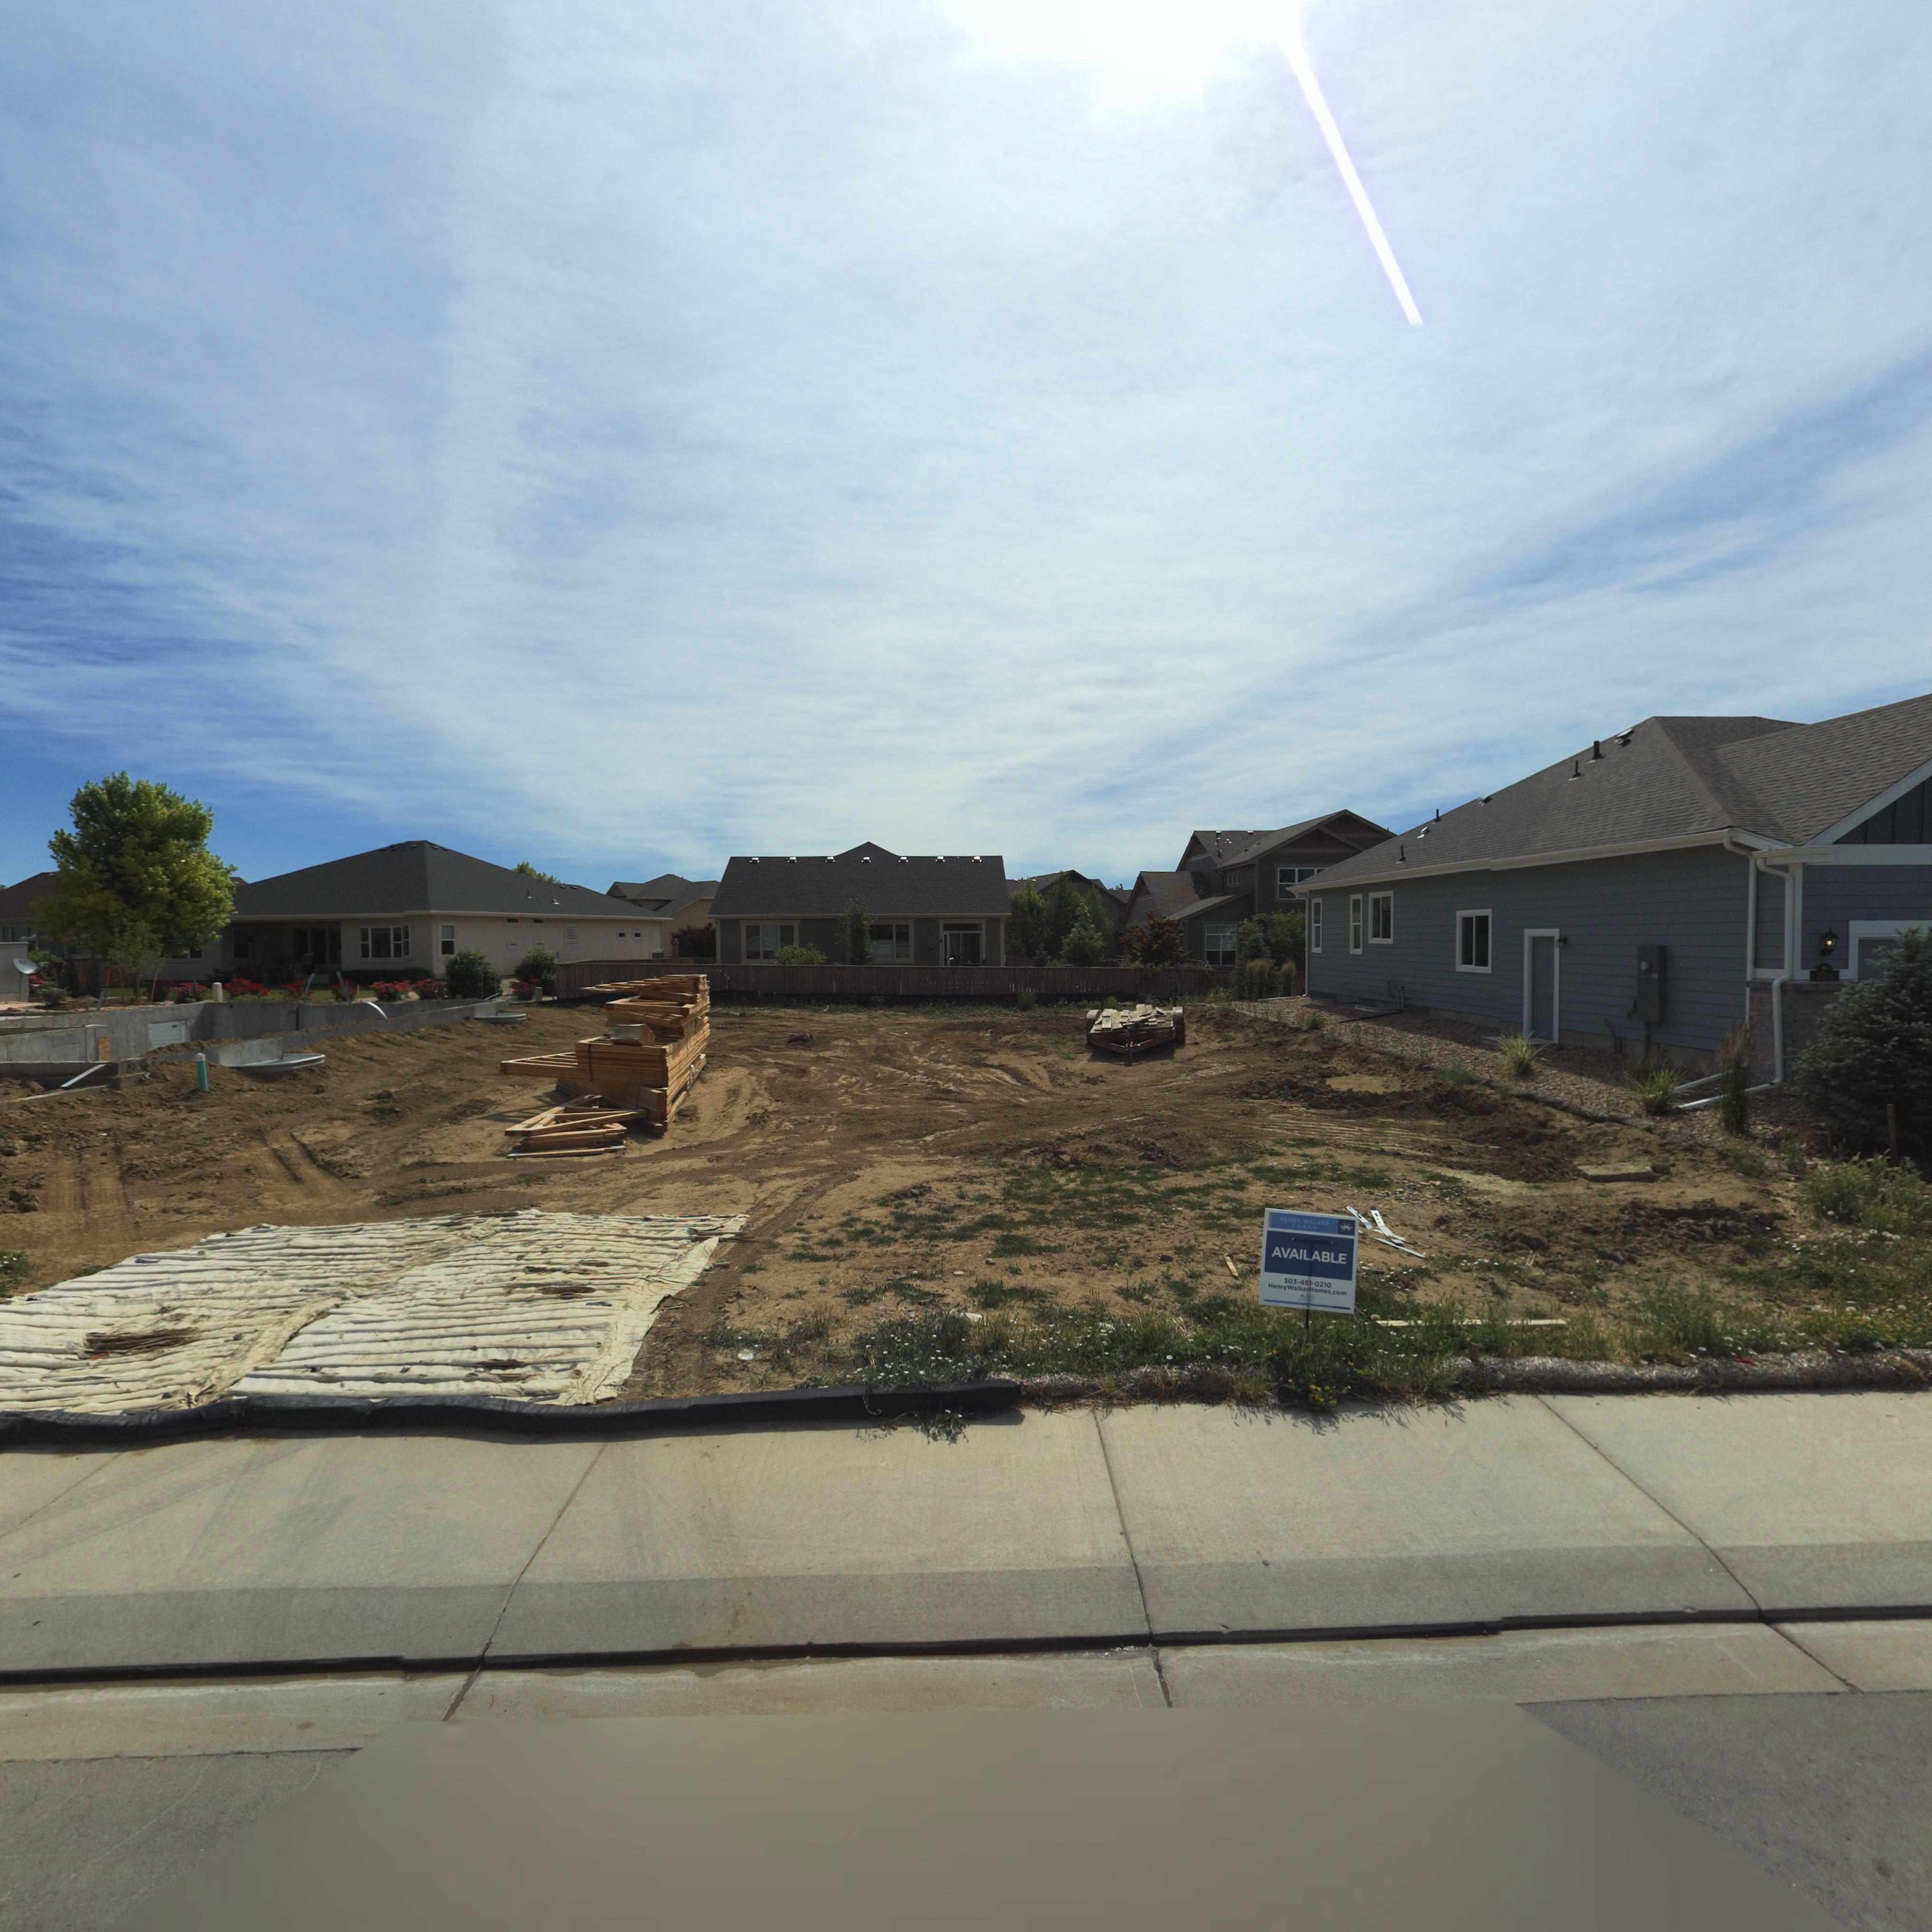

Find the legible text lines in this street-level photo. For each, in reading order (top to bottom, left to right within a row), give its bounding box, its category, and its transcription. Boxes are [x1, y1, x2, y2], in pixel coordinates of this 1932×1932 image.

[1817, 972, 1833, 980] StreetNumber: 1504